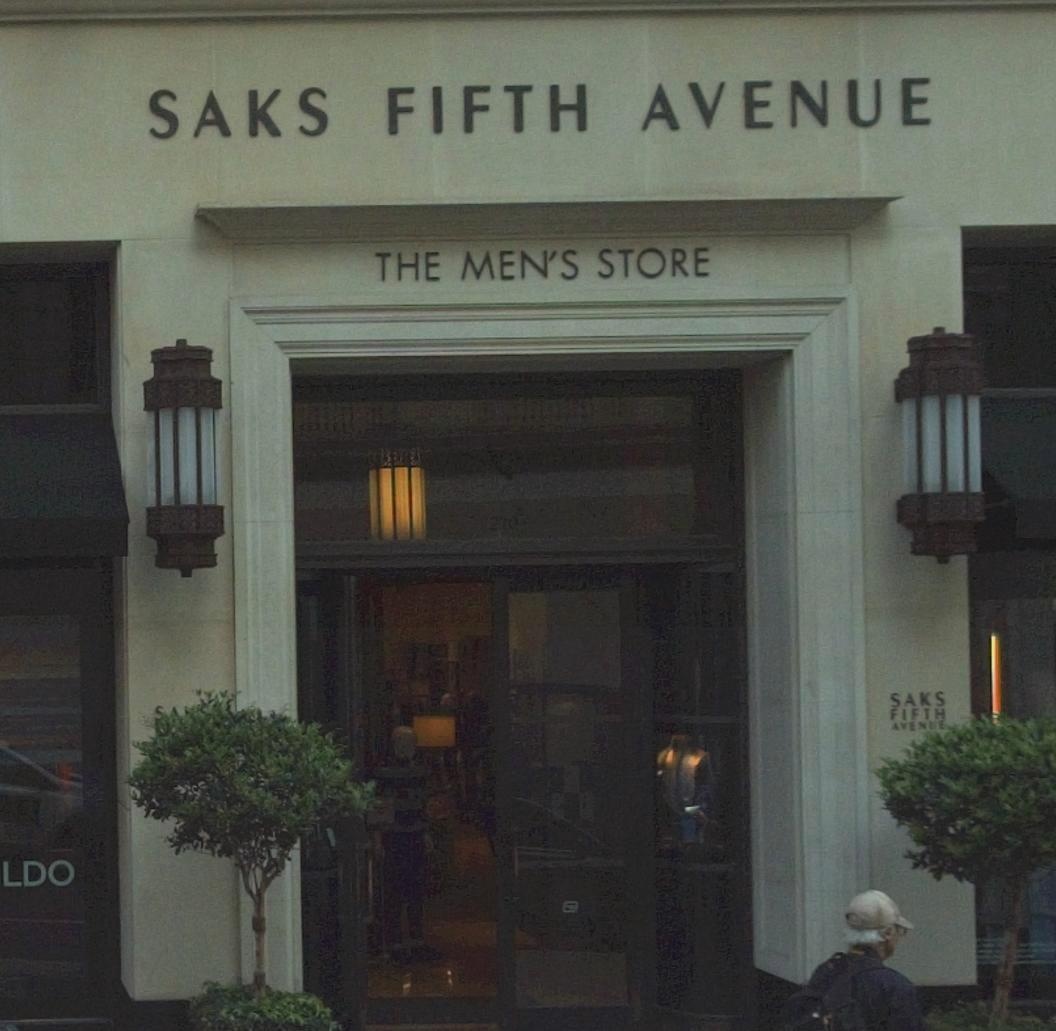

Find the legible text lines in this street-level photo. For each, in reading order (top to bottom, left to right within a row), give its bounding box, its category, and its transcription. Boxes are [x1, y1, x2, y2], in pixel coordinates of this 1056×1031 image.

[141, 71, 938, 146] BusinessName: SAKS FIFTH AVENUE
[370, 242, 718, 286] None: THE MEN'S STORE
[500, 500, 556, 531] StreetNumber: 220
[884, 704, 952, 724] BusinessName: FIFTH
[885, 717, 951, 735] BusinessName: AVENUE
[886, 685, 952, 713] BusinessName: SAKS
[0, 856, 80, 893] BusinessName: LDO